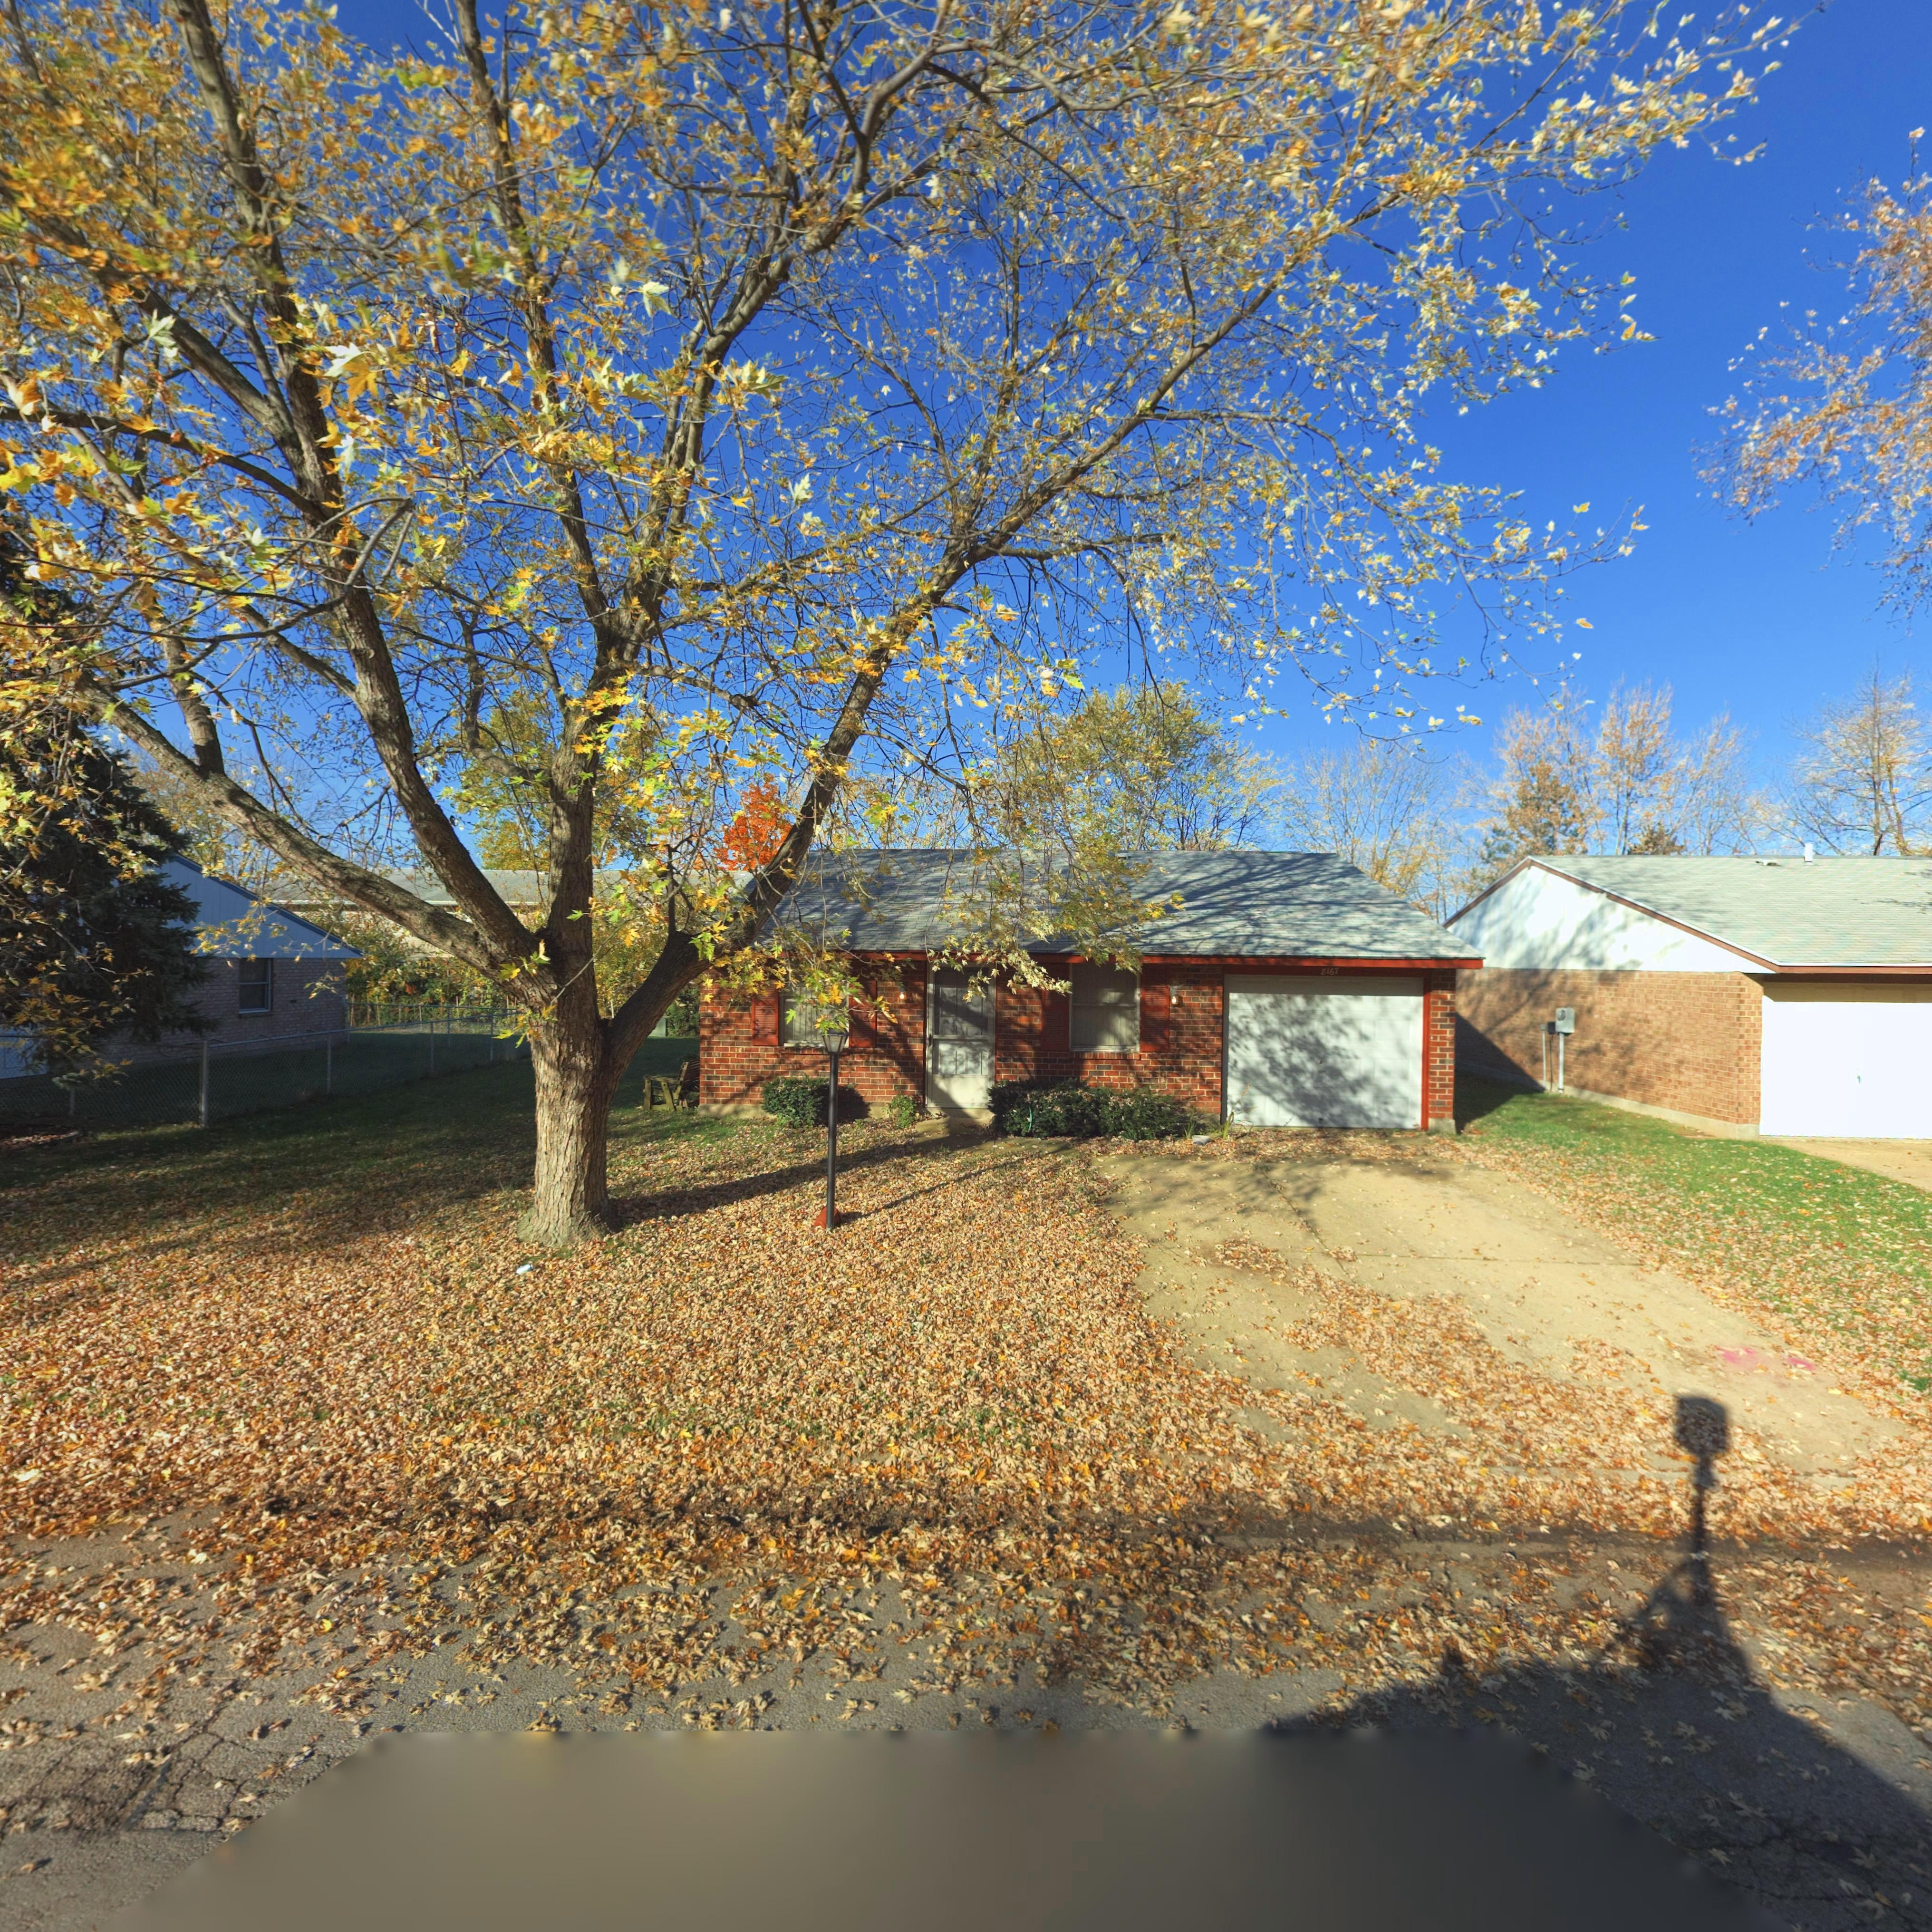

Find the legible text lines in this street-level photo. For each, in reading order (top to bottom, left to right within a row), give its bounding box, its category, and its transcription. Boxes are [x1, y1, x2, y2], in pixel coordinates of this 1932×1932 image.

[1320, 966, 1339, 976] StreetNumber: 8167